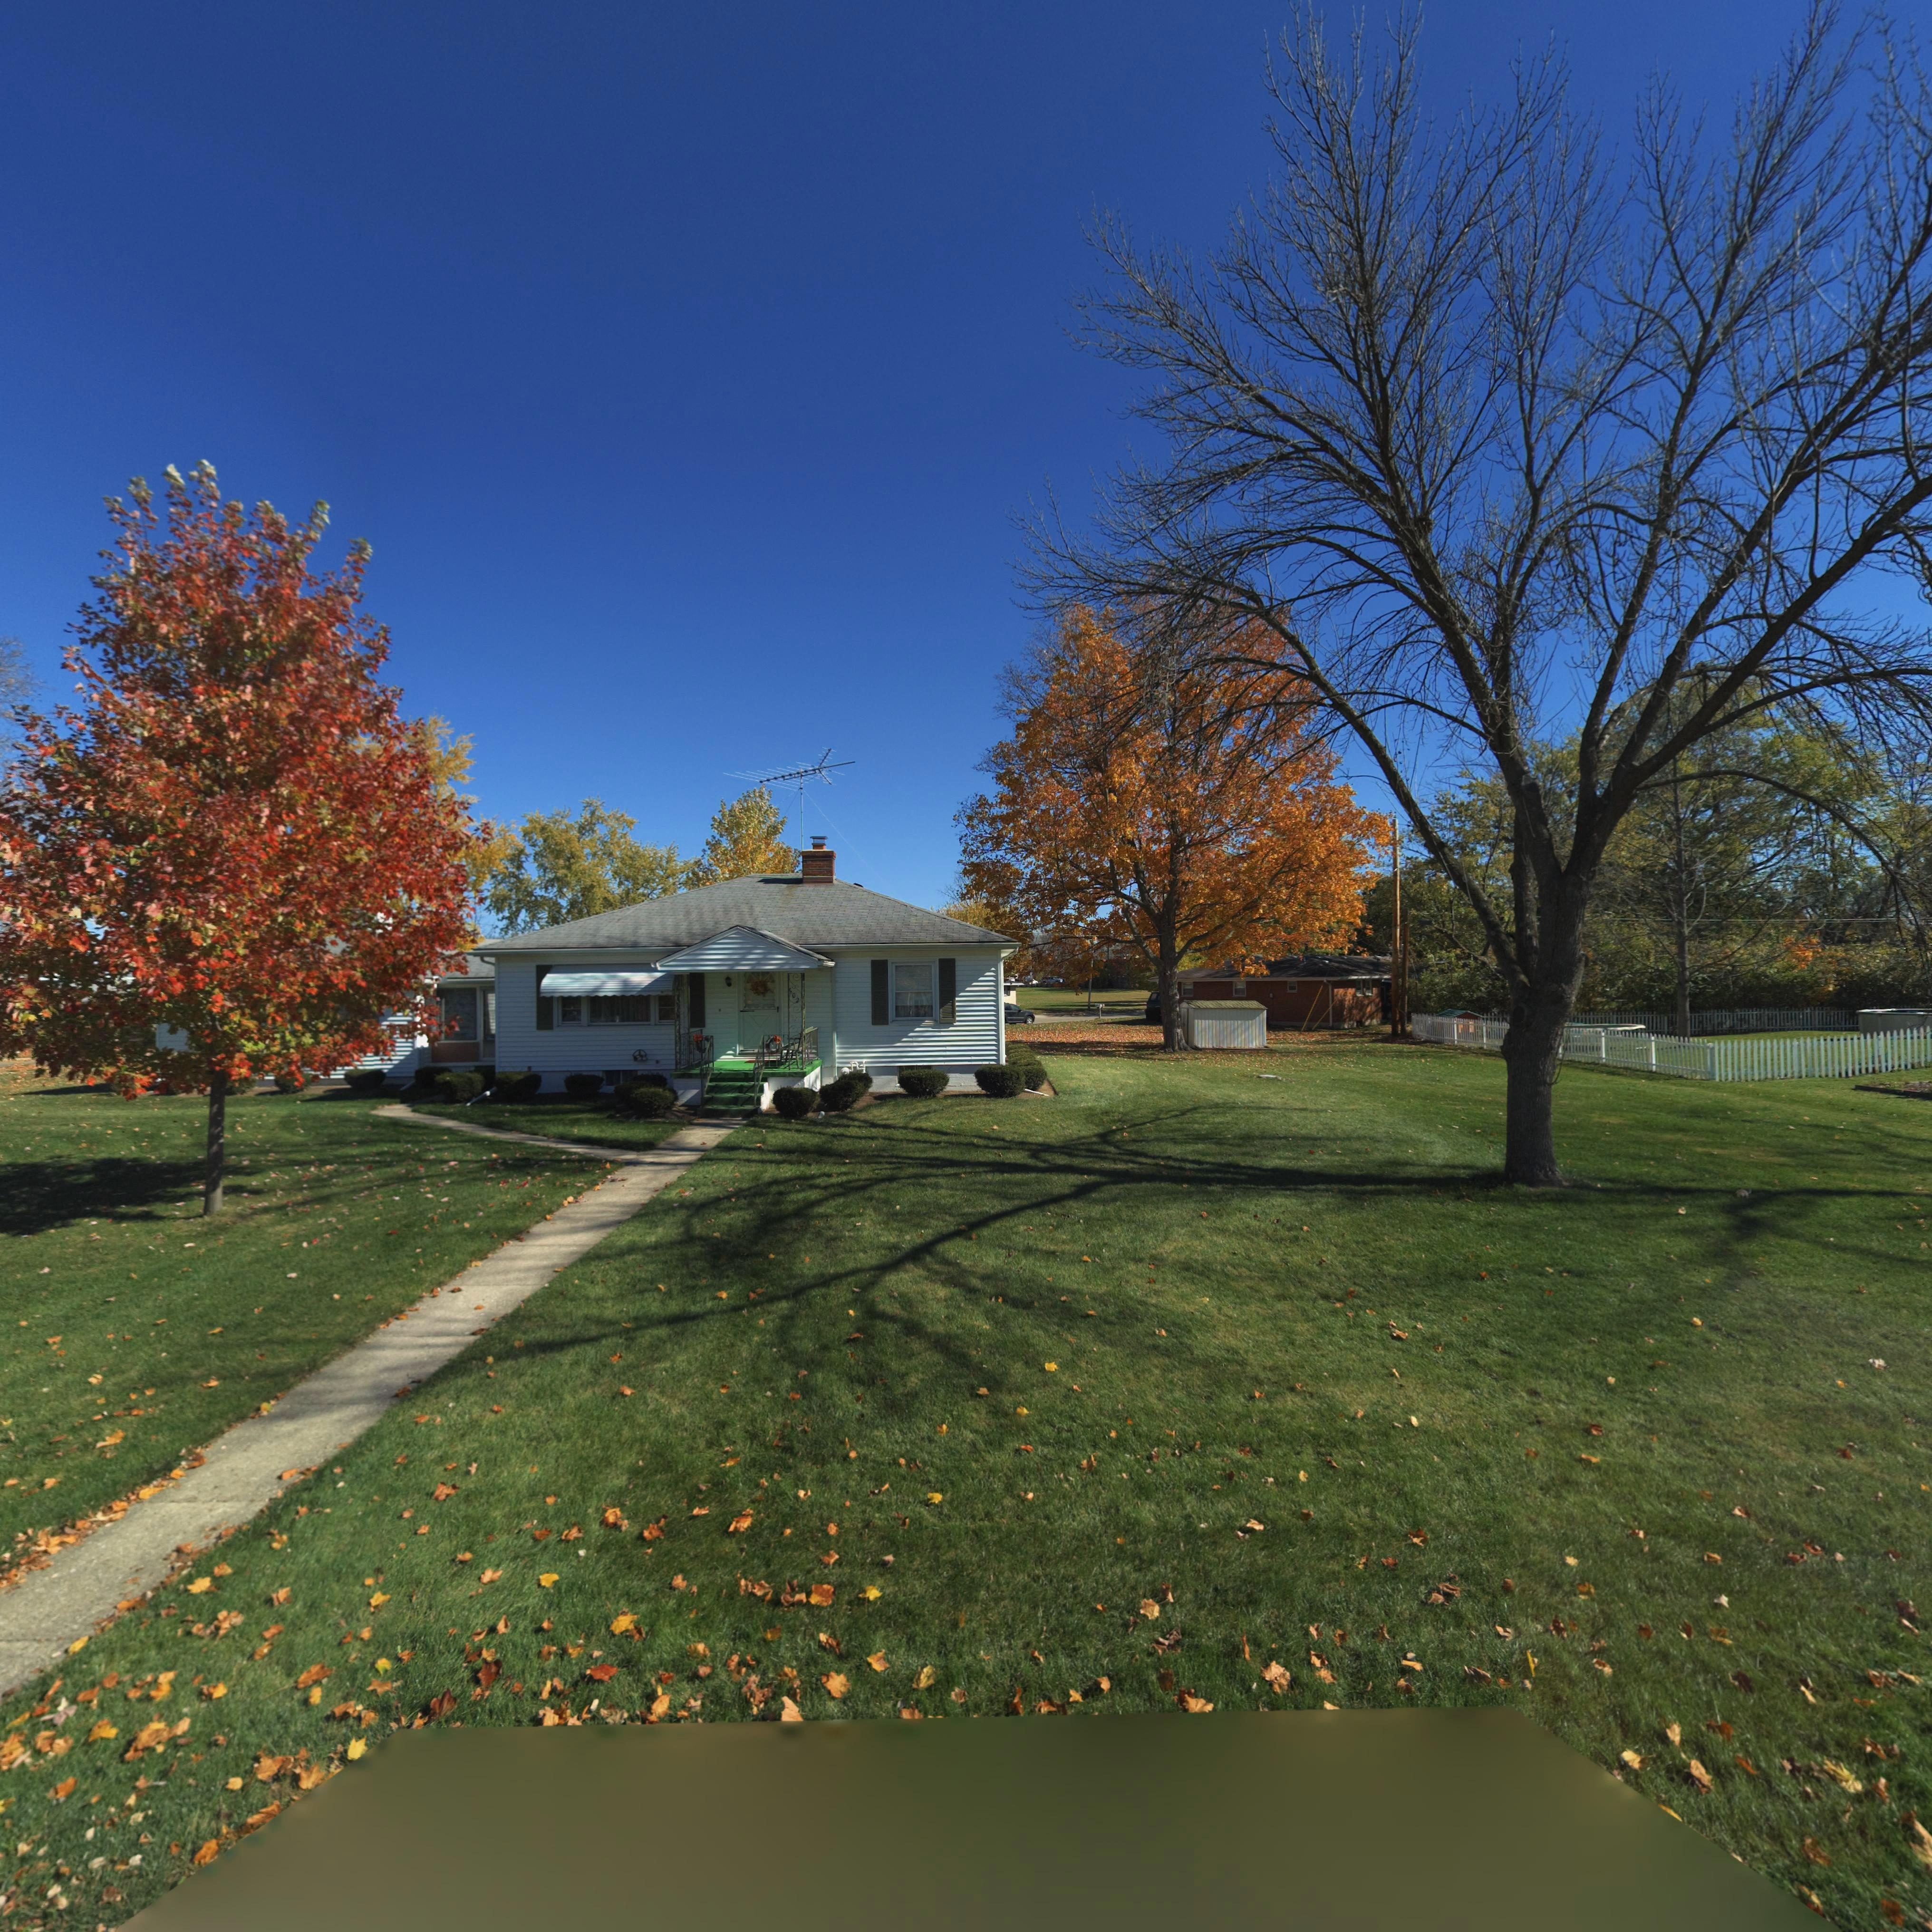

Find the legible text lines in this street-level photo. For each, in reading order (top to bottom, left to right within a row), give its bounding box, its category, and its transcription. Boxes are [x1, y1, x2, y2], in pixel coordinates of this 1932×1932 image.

[792, 993, 800, 1003] StreetNumber: 02